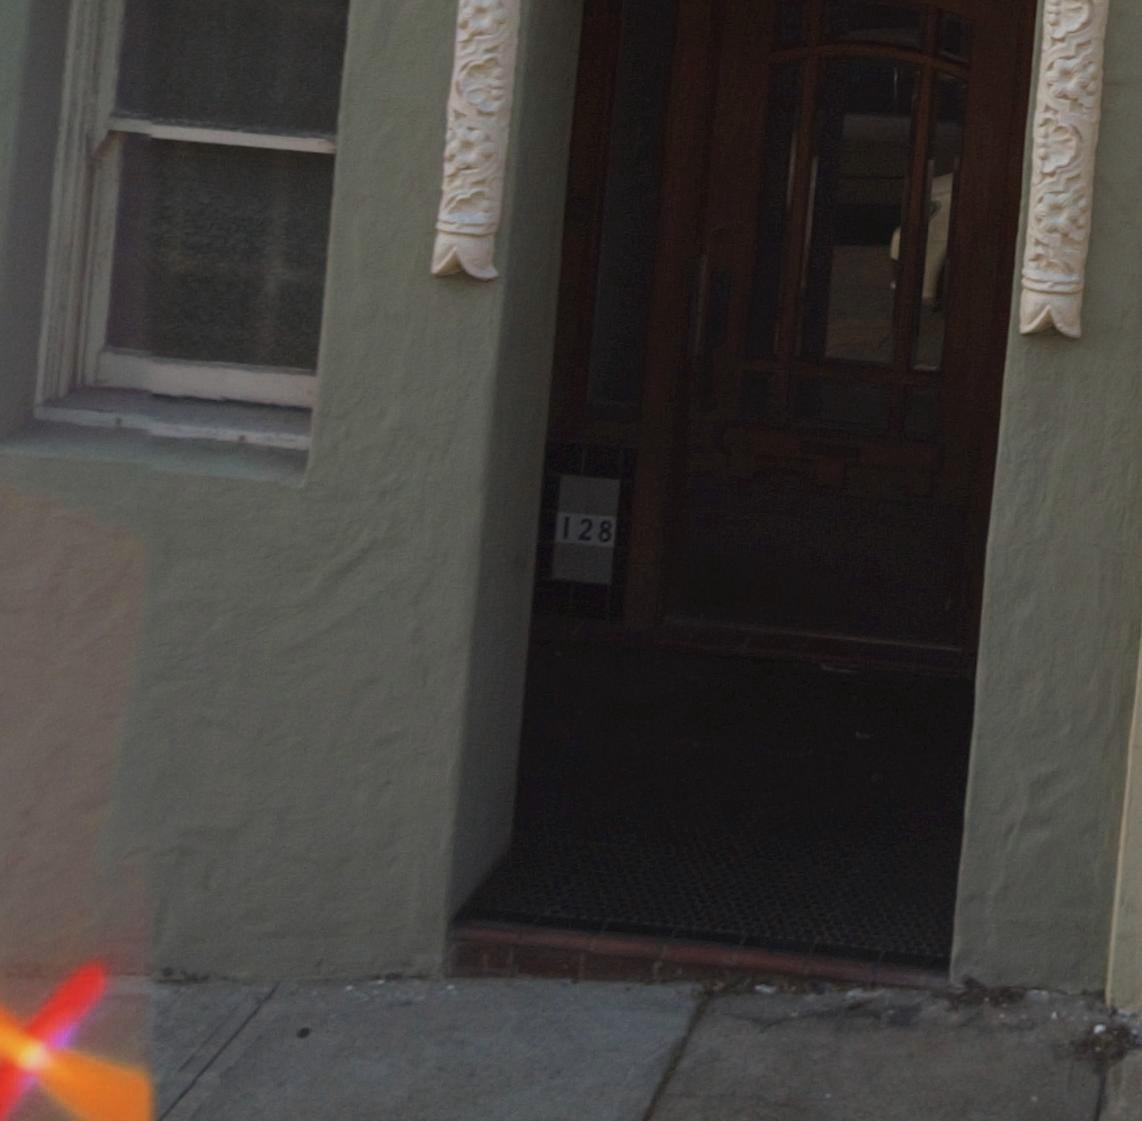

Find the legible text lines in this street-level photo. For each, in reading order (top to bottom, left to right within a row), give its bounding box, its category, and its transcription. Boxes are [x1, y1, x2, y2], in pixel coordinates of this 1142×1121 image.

[558, 512, 616, 546] StreetNumber: 128